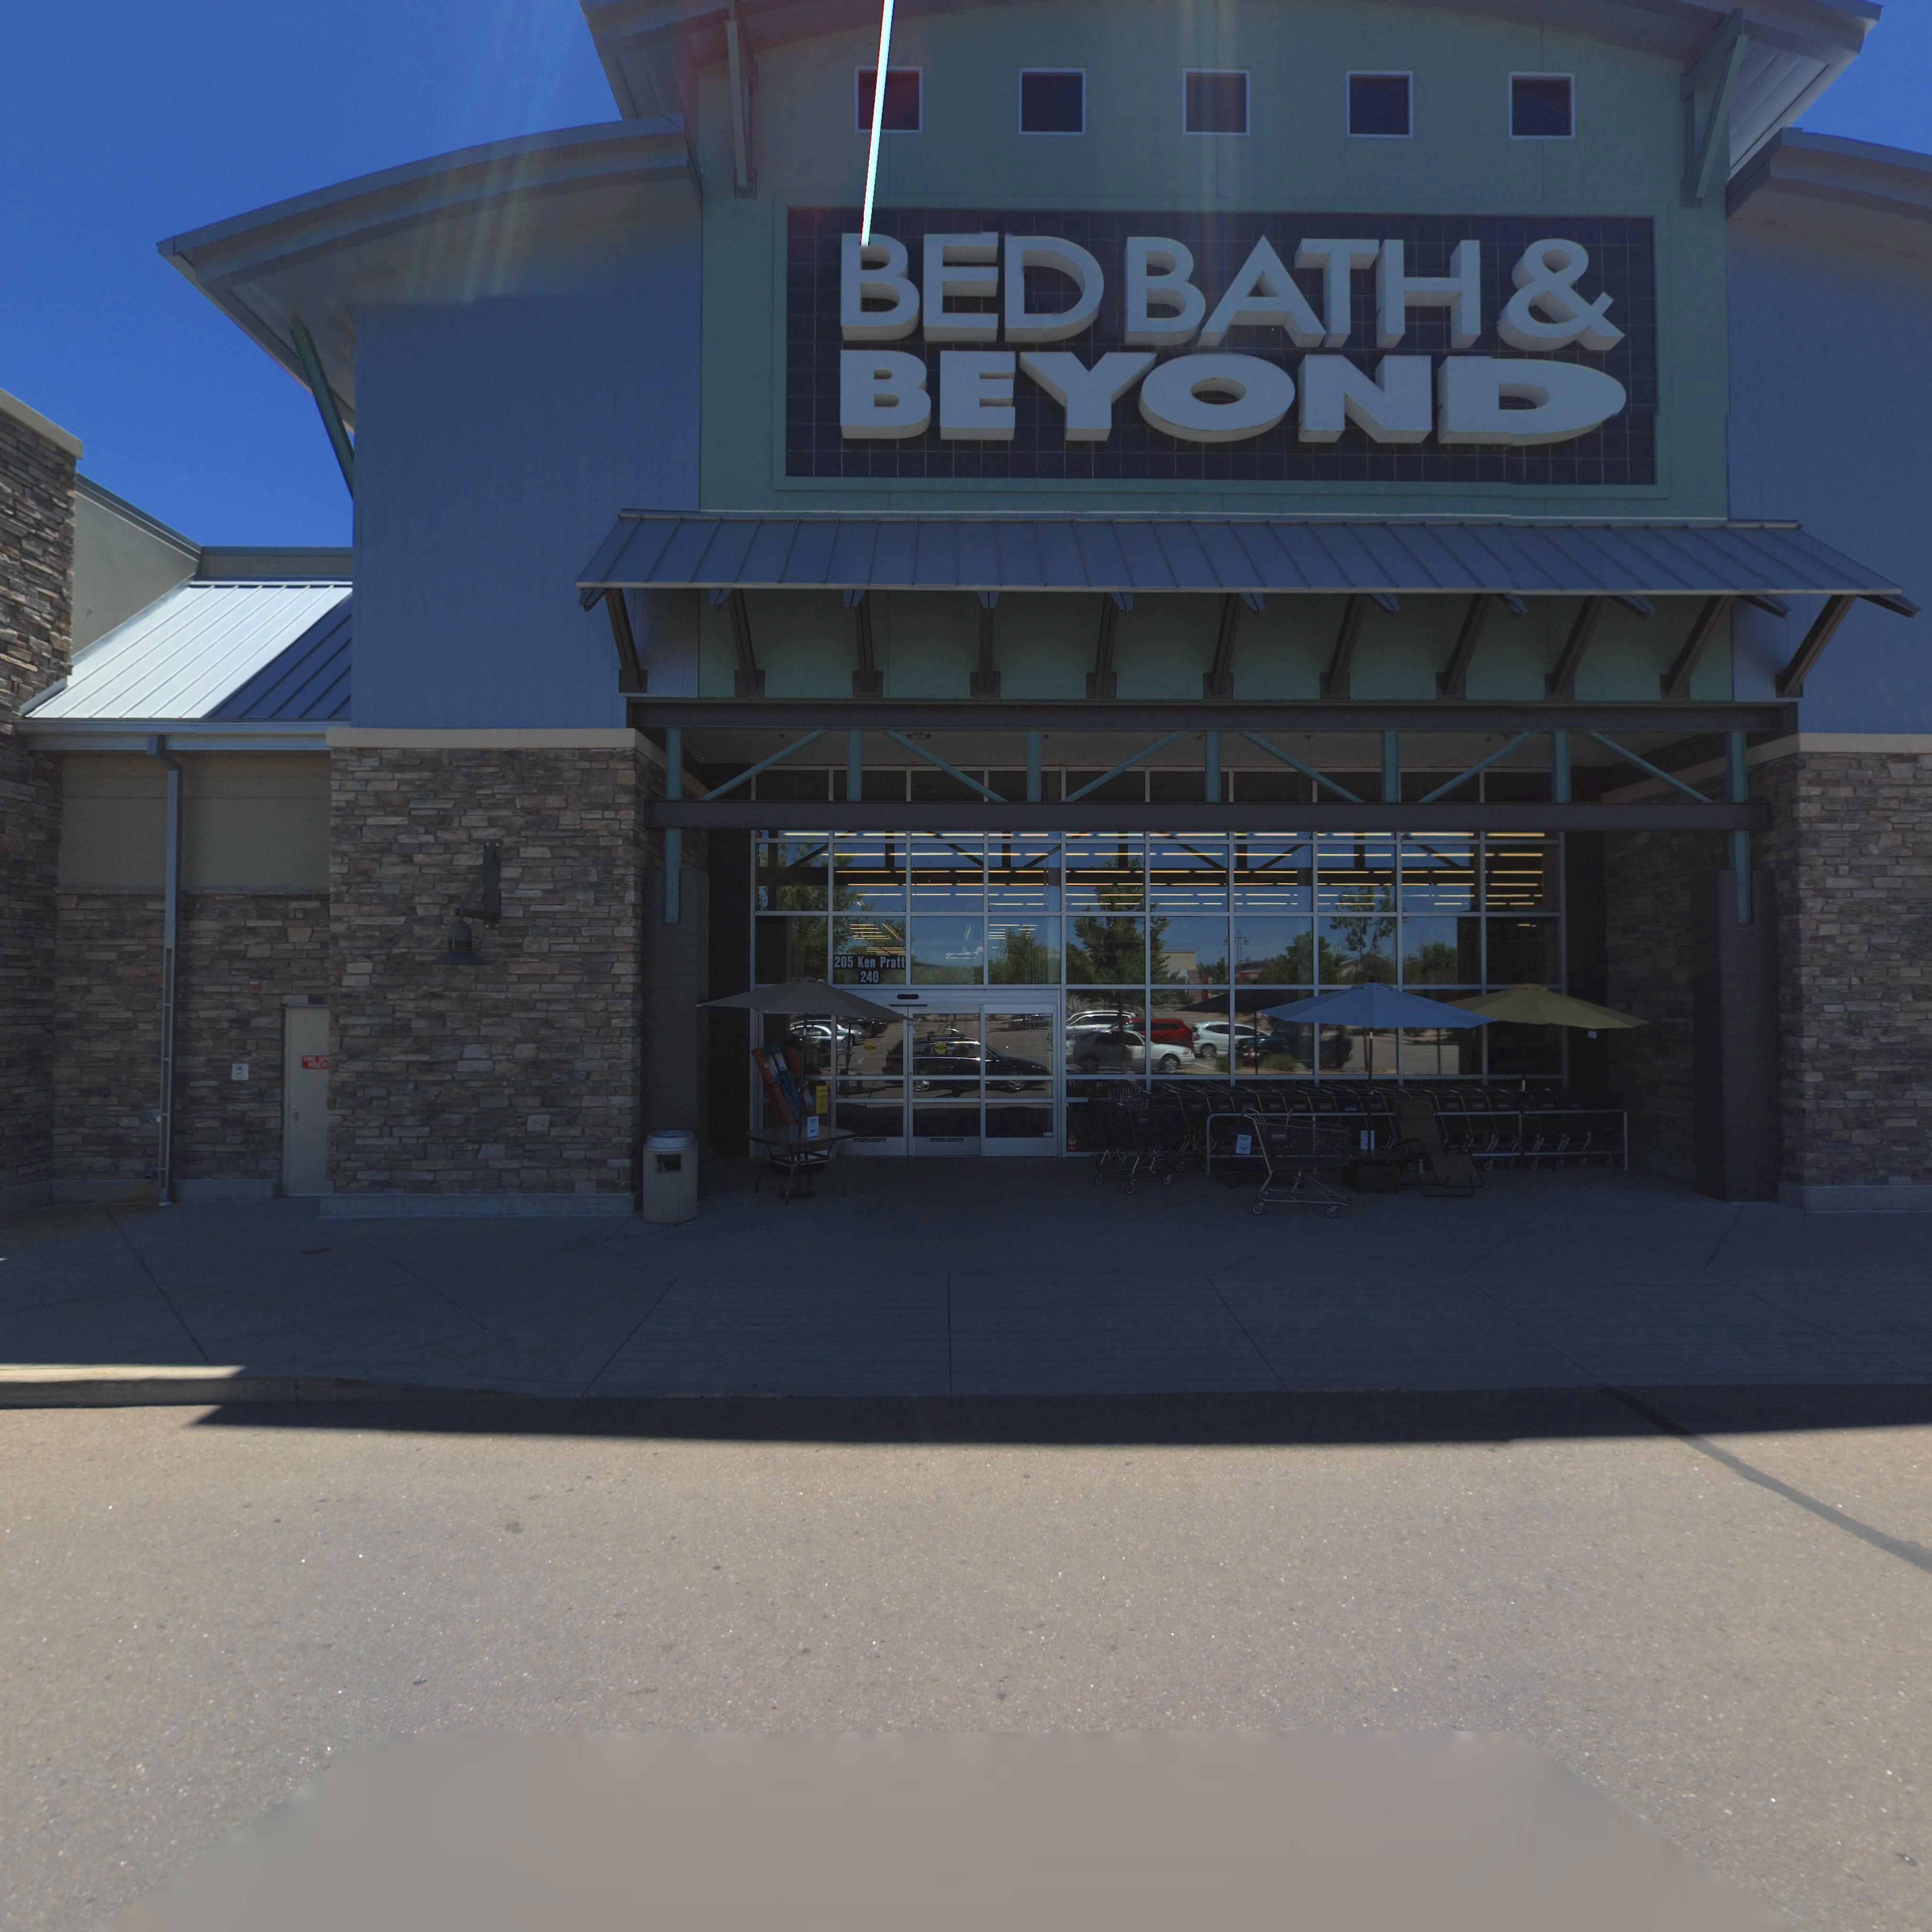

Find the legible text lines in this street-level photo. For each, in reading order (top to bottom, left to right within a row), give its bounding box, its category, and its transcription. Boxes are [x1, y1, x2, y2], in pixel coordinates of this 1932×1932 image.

[840, 232, 1629, 341] BusinessName: BED BATH &
[835, 346, 1629, 441] BusinessName: BEYOND
[834, 955, 853, 968] StreetNumber: 205
[857, 956, 905, 968] StreetName: Ken Pratt
[860, 971, 879, 983] StreetNumber: 240